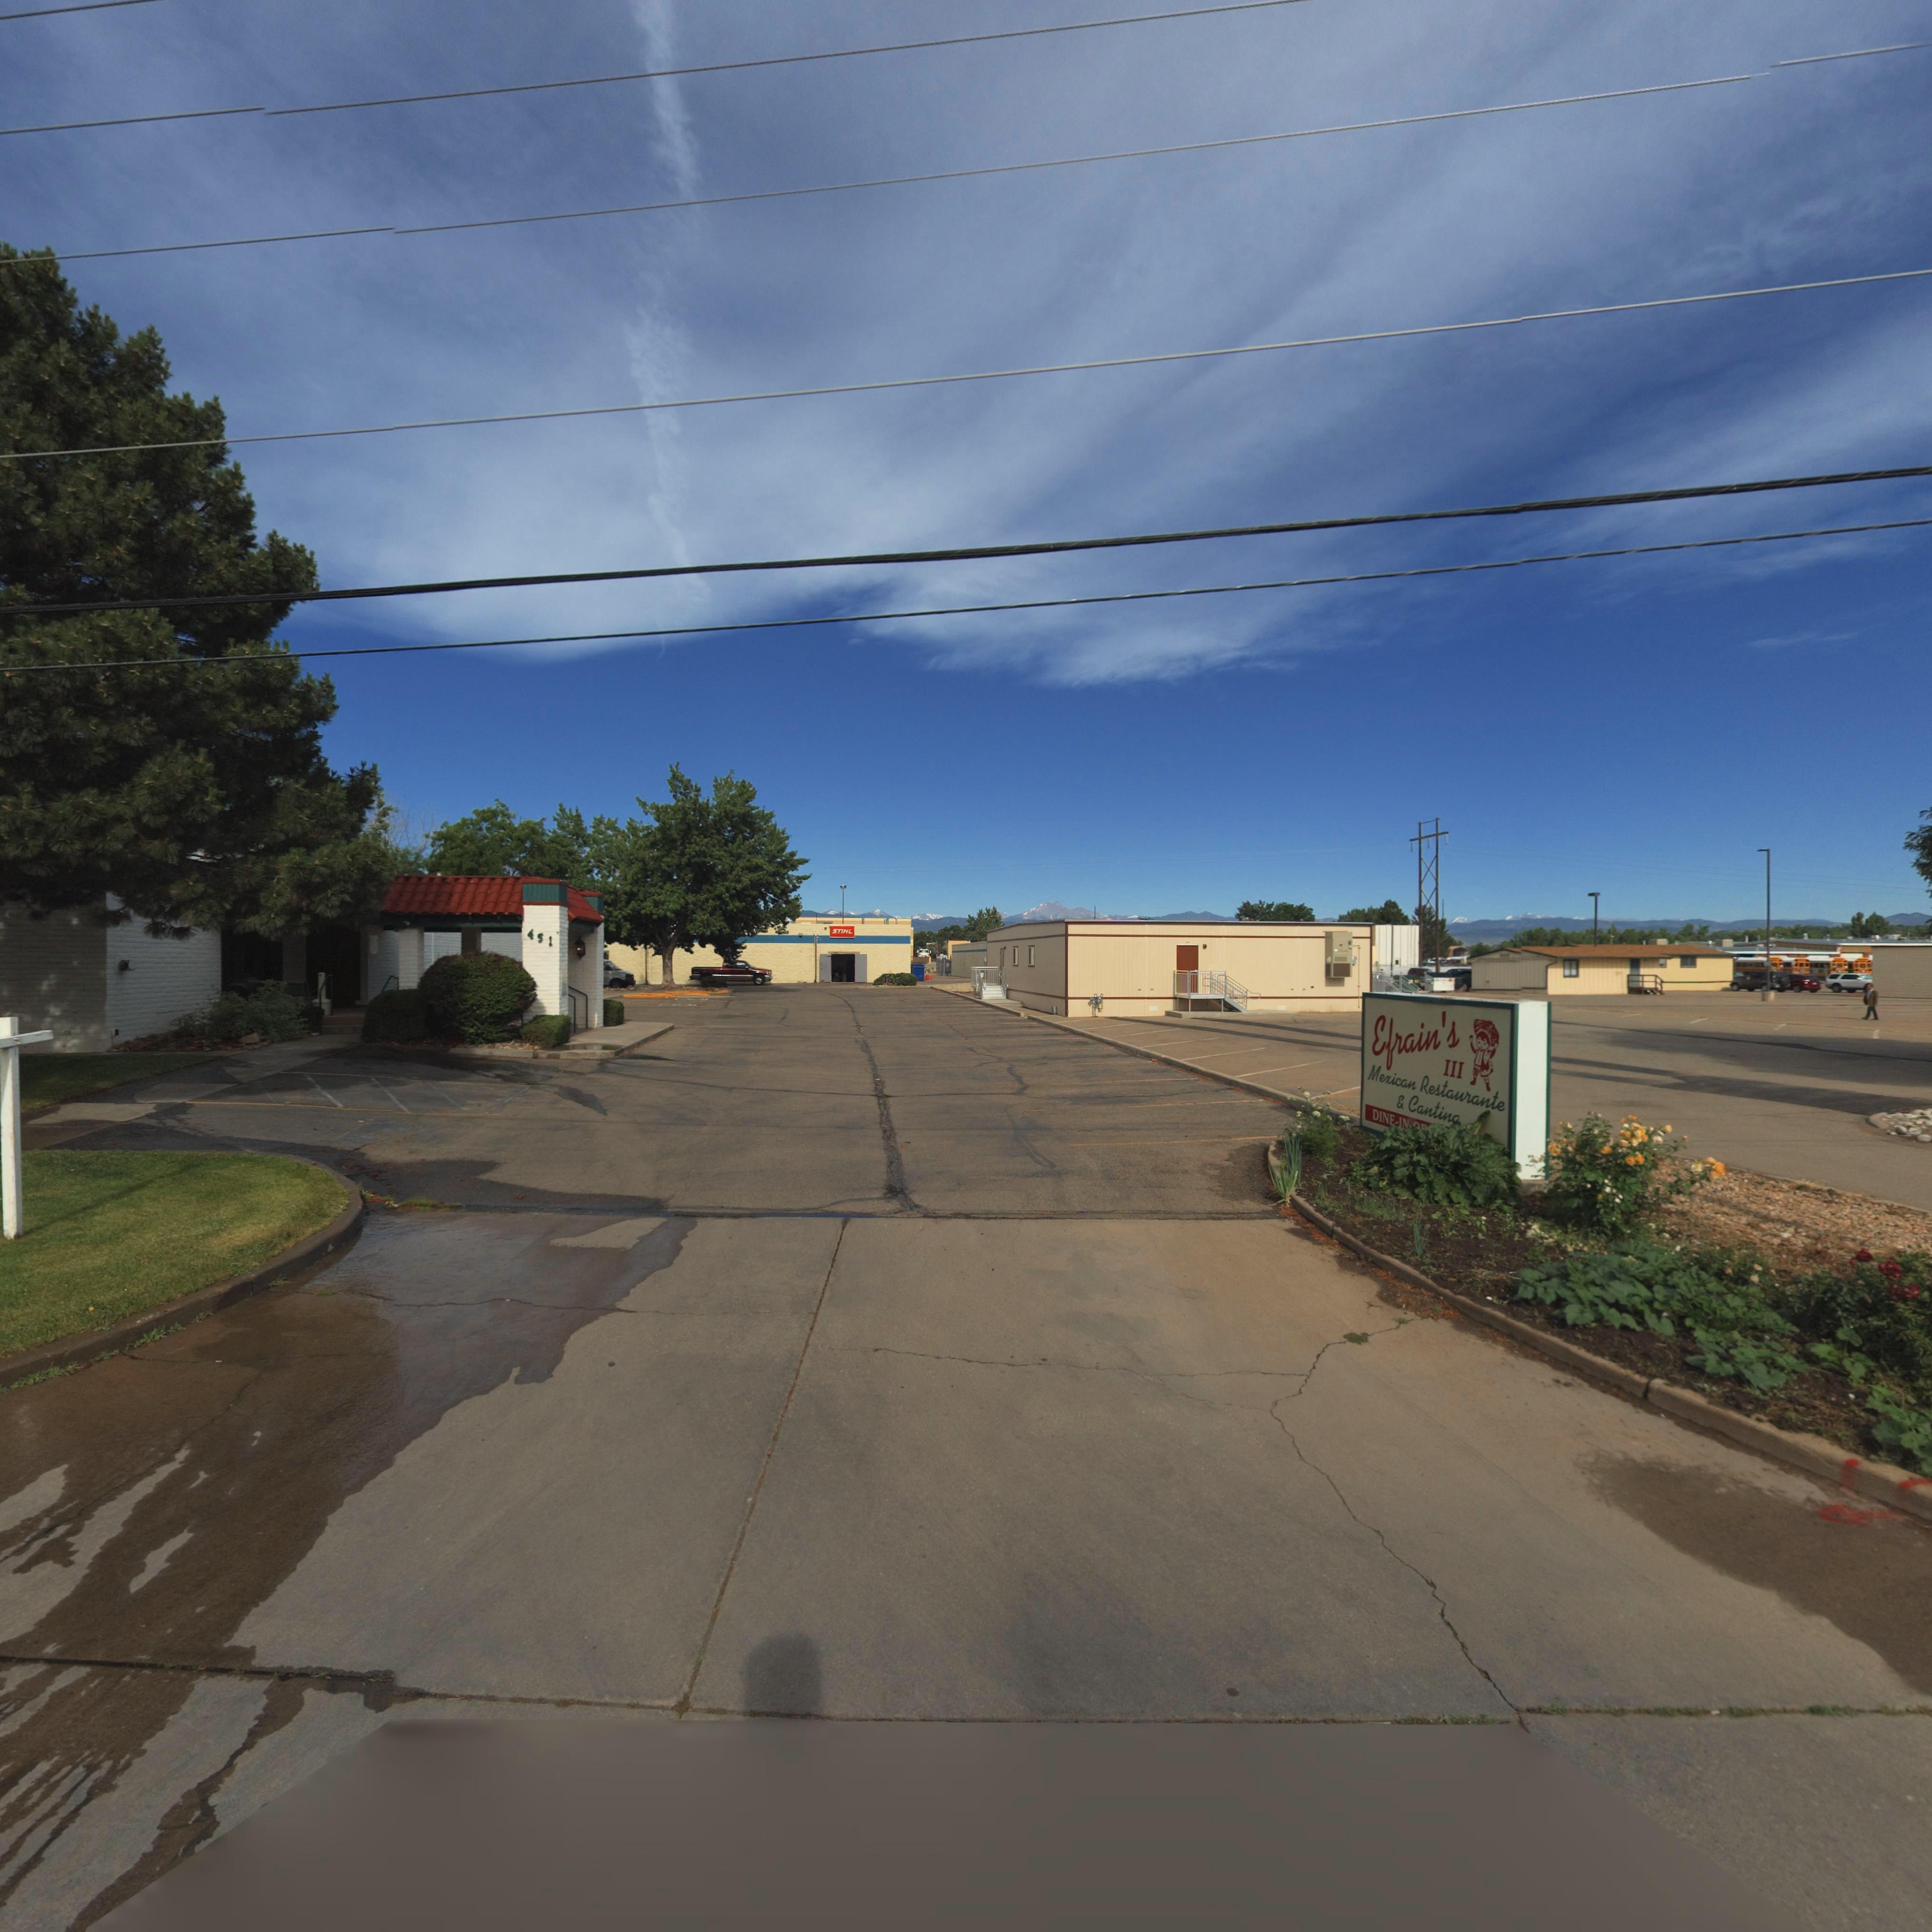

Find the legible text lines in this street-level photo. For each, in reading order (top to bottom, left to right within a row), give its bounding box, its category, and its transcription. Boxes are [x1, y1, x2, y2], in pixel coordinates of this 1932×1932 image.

[526, 928, 552, 947] StreetNumber: 451
[831, 928, 853, 934] BusinessName: STIHL
[1371, 1010, 1460, 1071] BusinessName: Efrain's
[1442, 1059, 1465, 1080] BusinessName: III